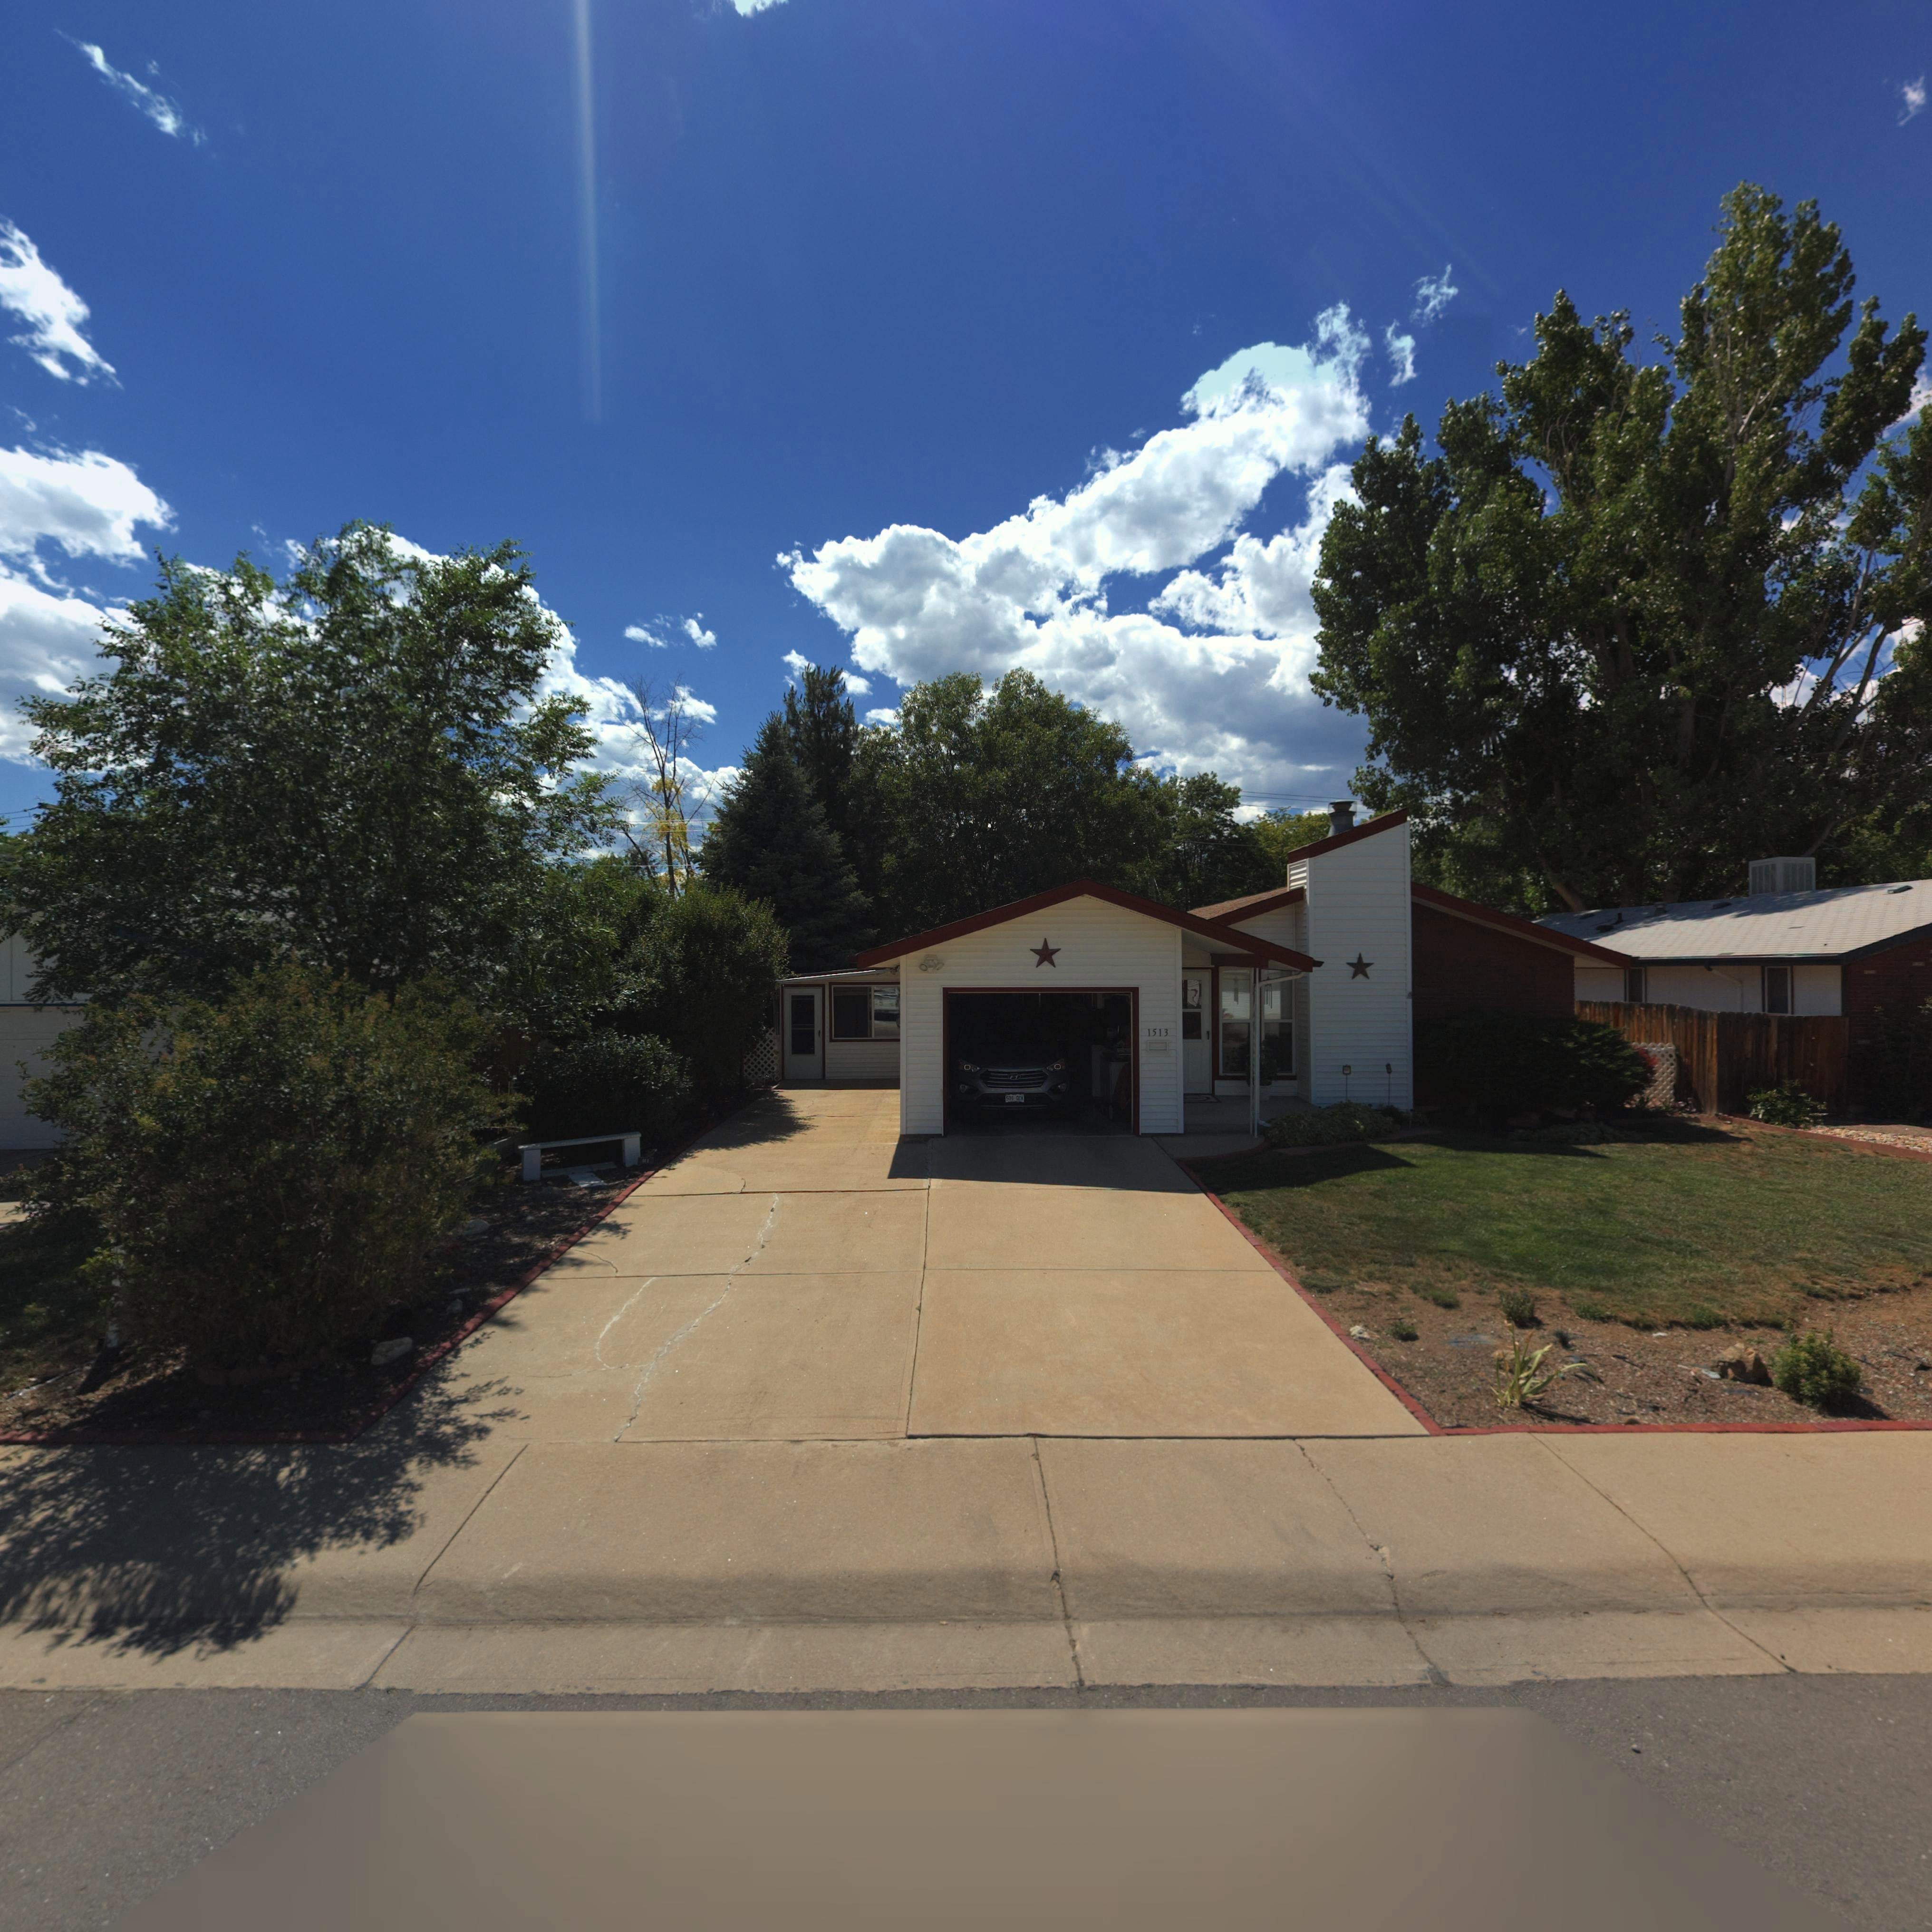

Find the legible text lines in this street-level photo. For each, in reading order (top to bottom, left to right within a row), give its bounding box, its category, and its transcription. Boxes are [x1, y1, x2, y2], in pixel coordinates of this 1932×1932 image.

[1147, 1028, 1168, 1037] StreetNumber: 1513